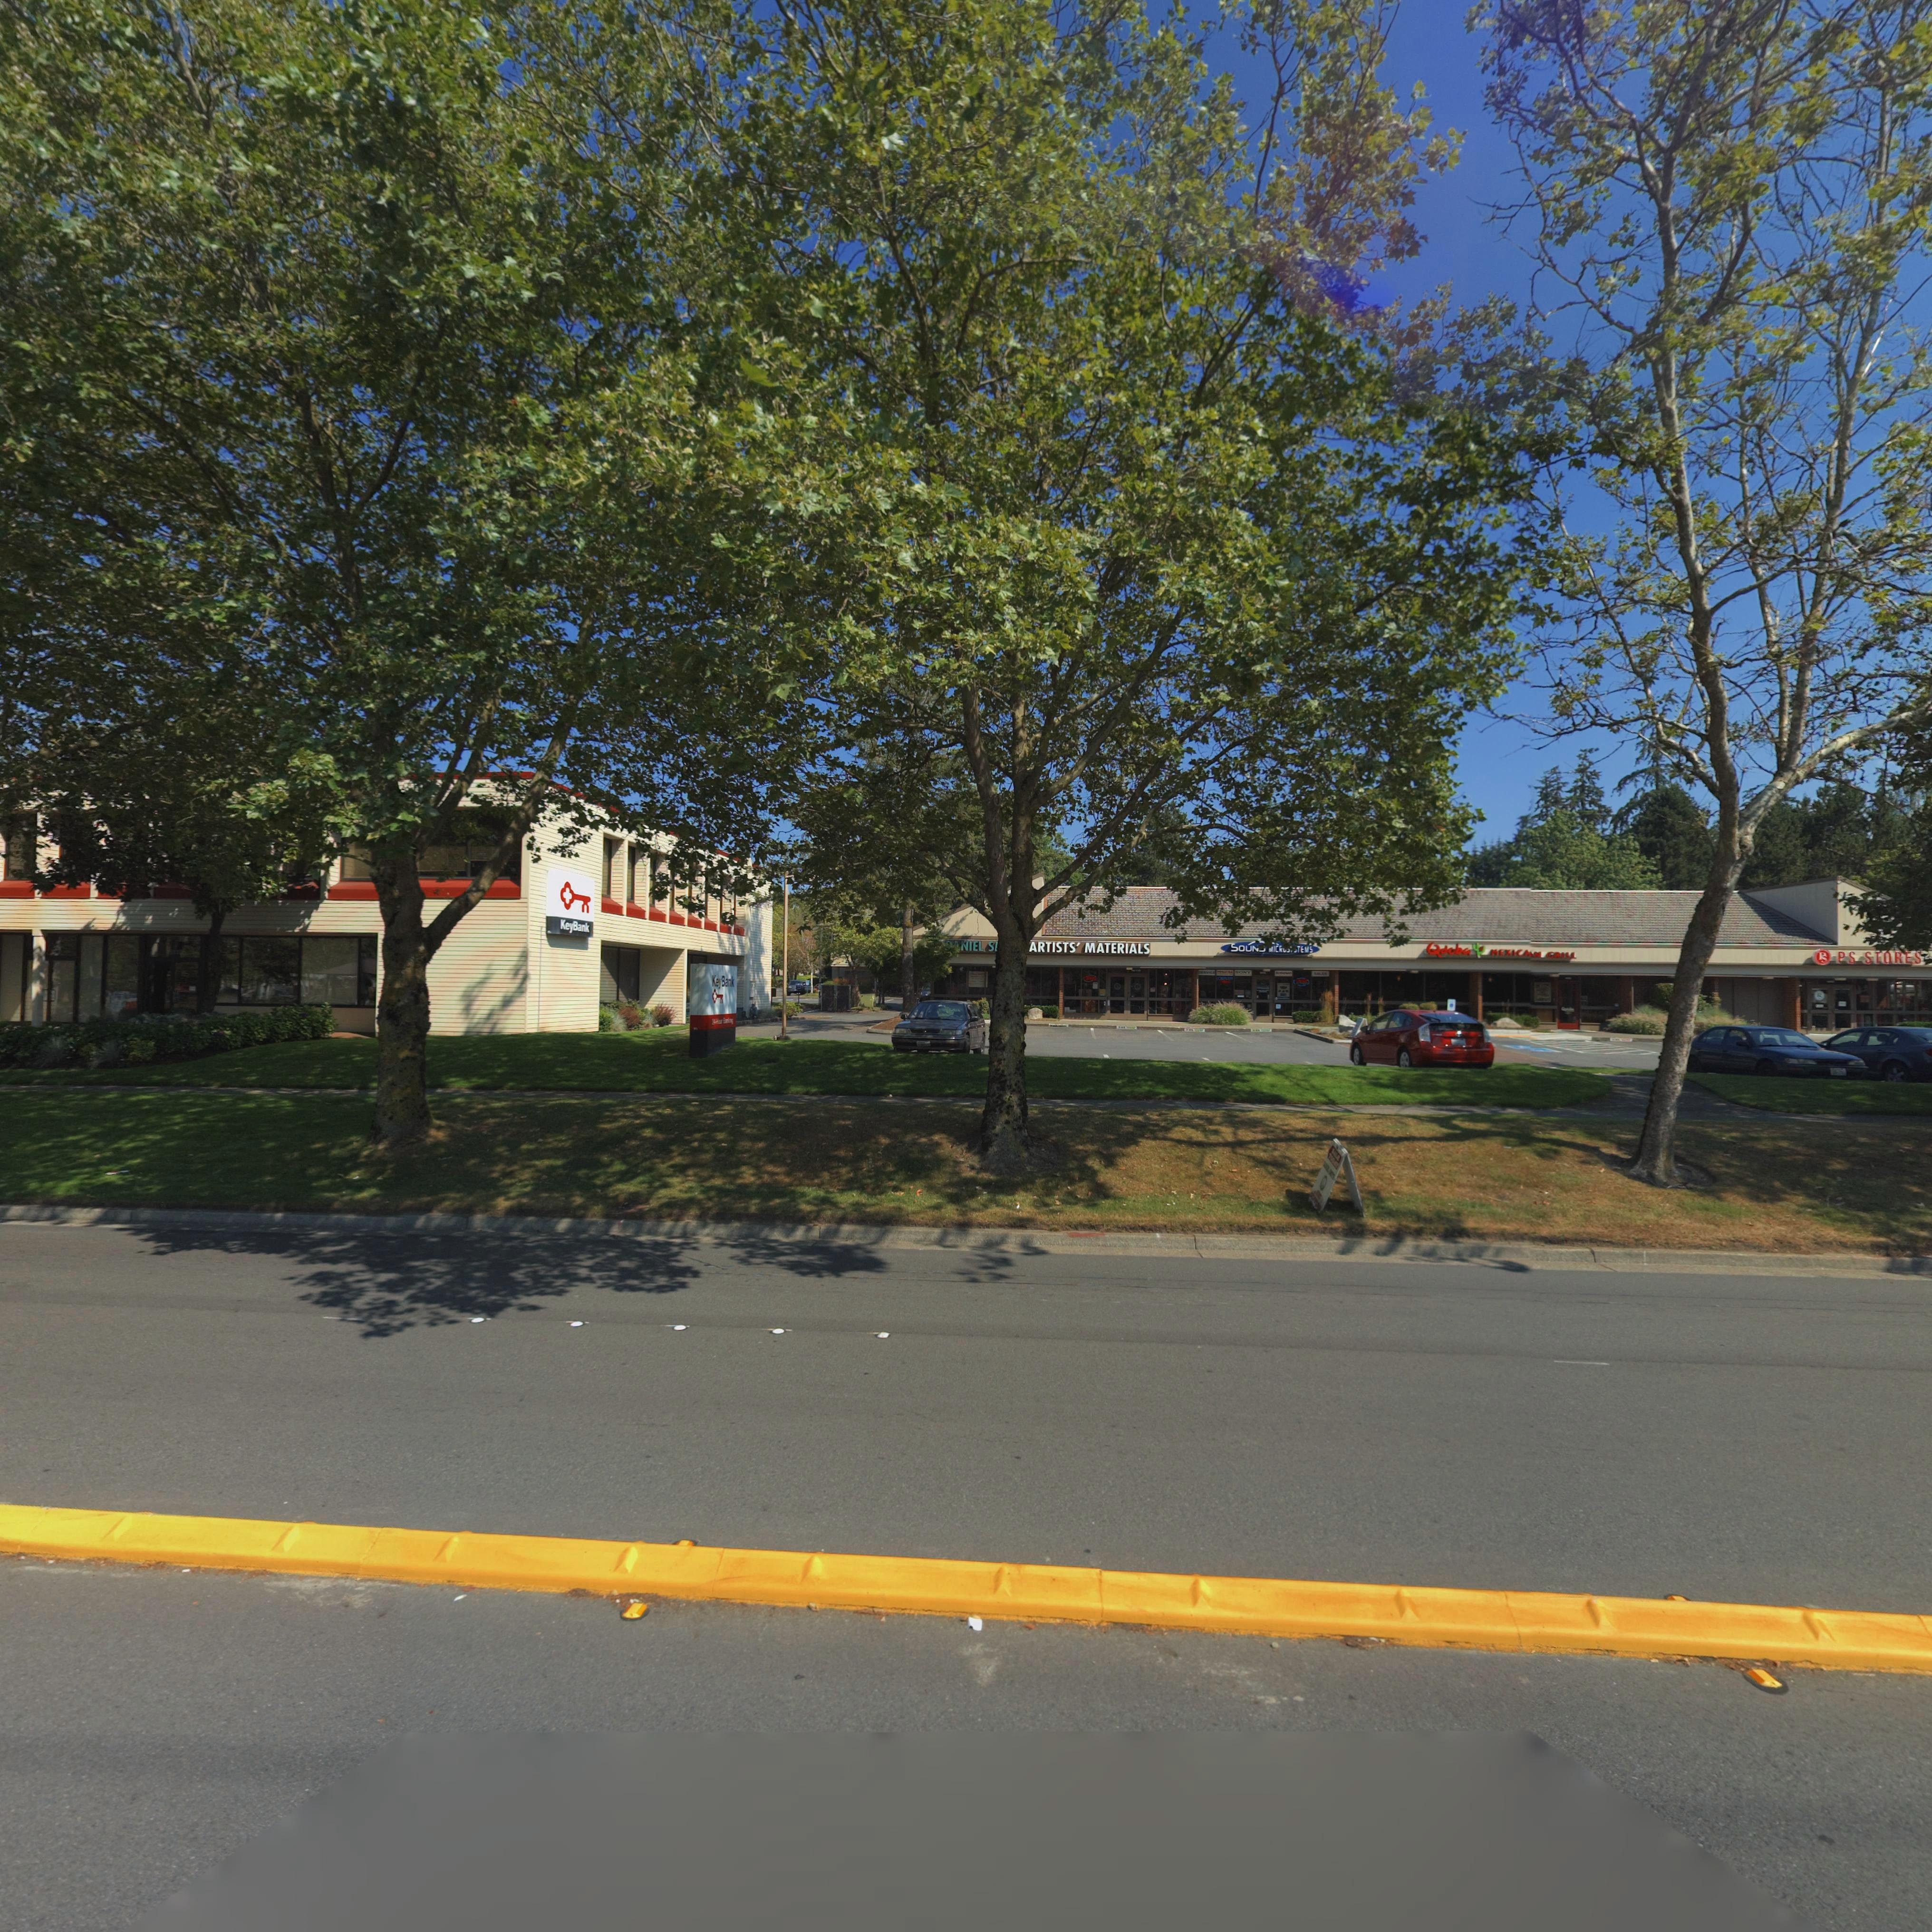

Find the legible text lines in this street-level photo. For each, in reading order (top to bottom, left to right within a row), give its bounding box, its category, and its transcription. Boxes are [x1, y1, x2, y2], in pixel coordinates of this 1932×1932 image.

[559, 918, 590, 935] BusinessName: KeyBank
[1029, 941, 1150, 953] BusinessName: ARTISTS MATERIALS
[1425, 939, 1472, 958] BusinessName: Qdoba
[1836, 949, 1923, 966] BusinessName: PS STORES
[711, 975, 735, 991] BusinessName: KeyBank